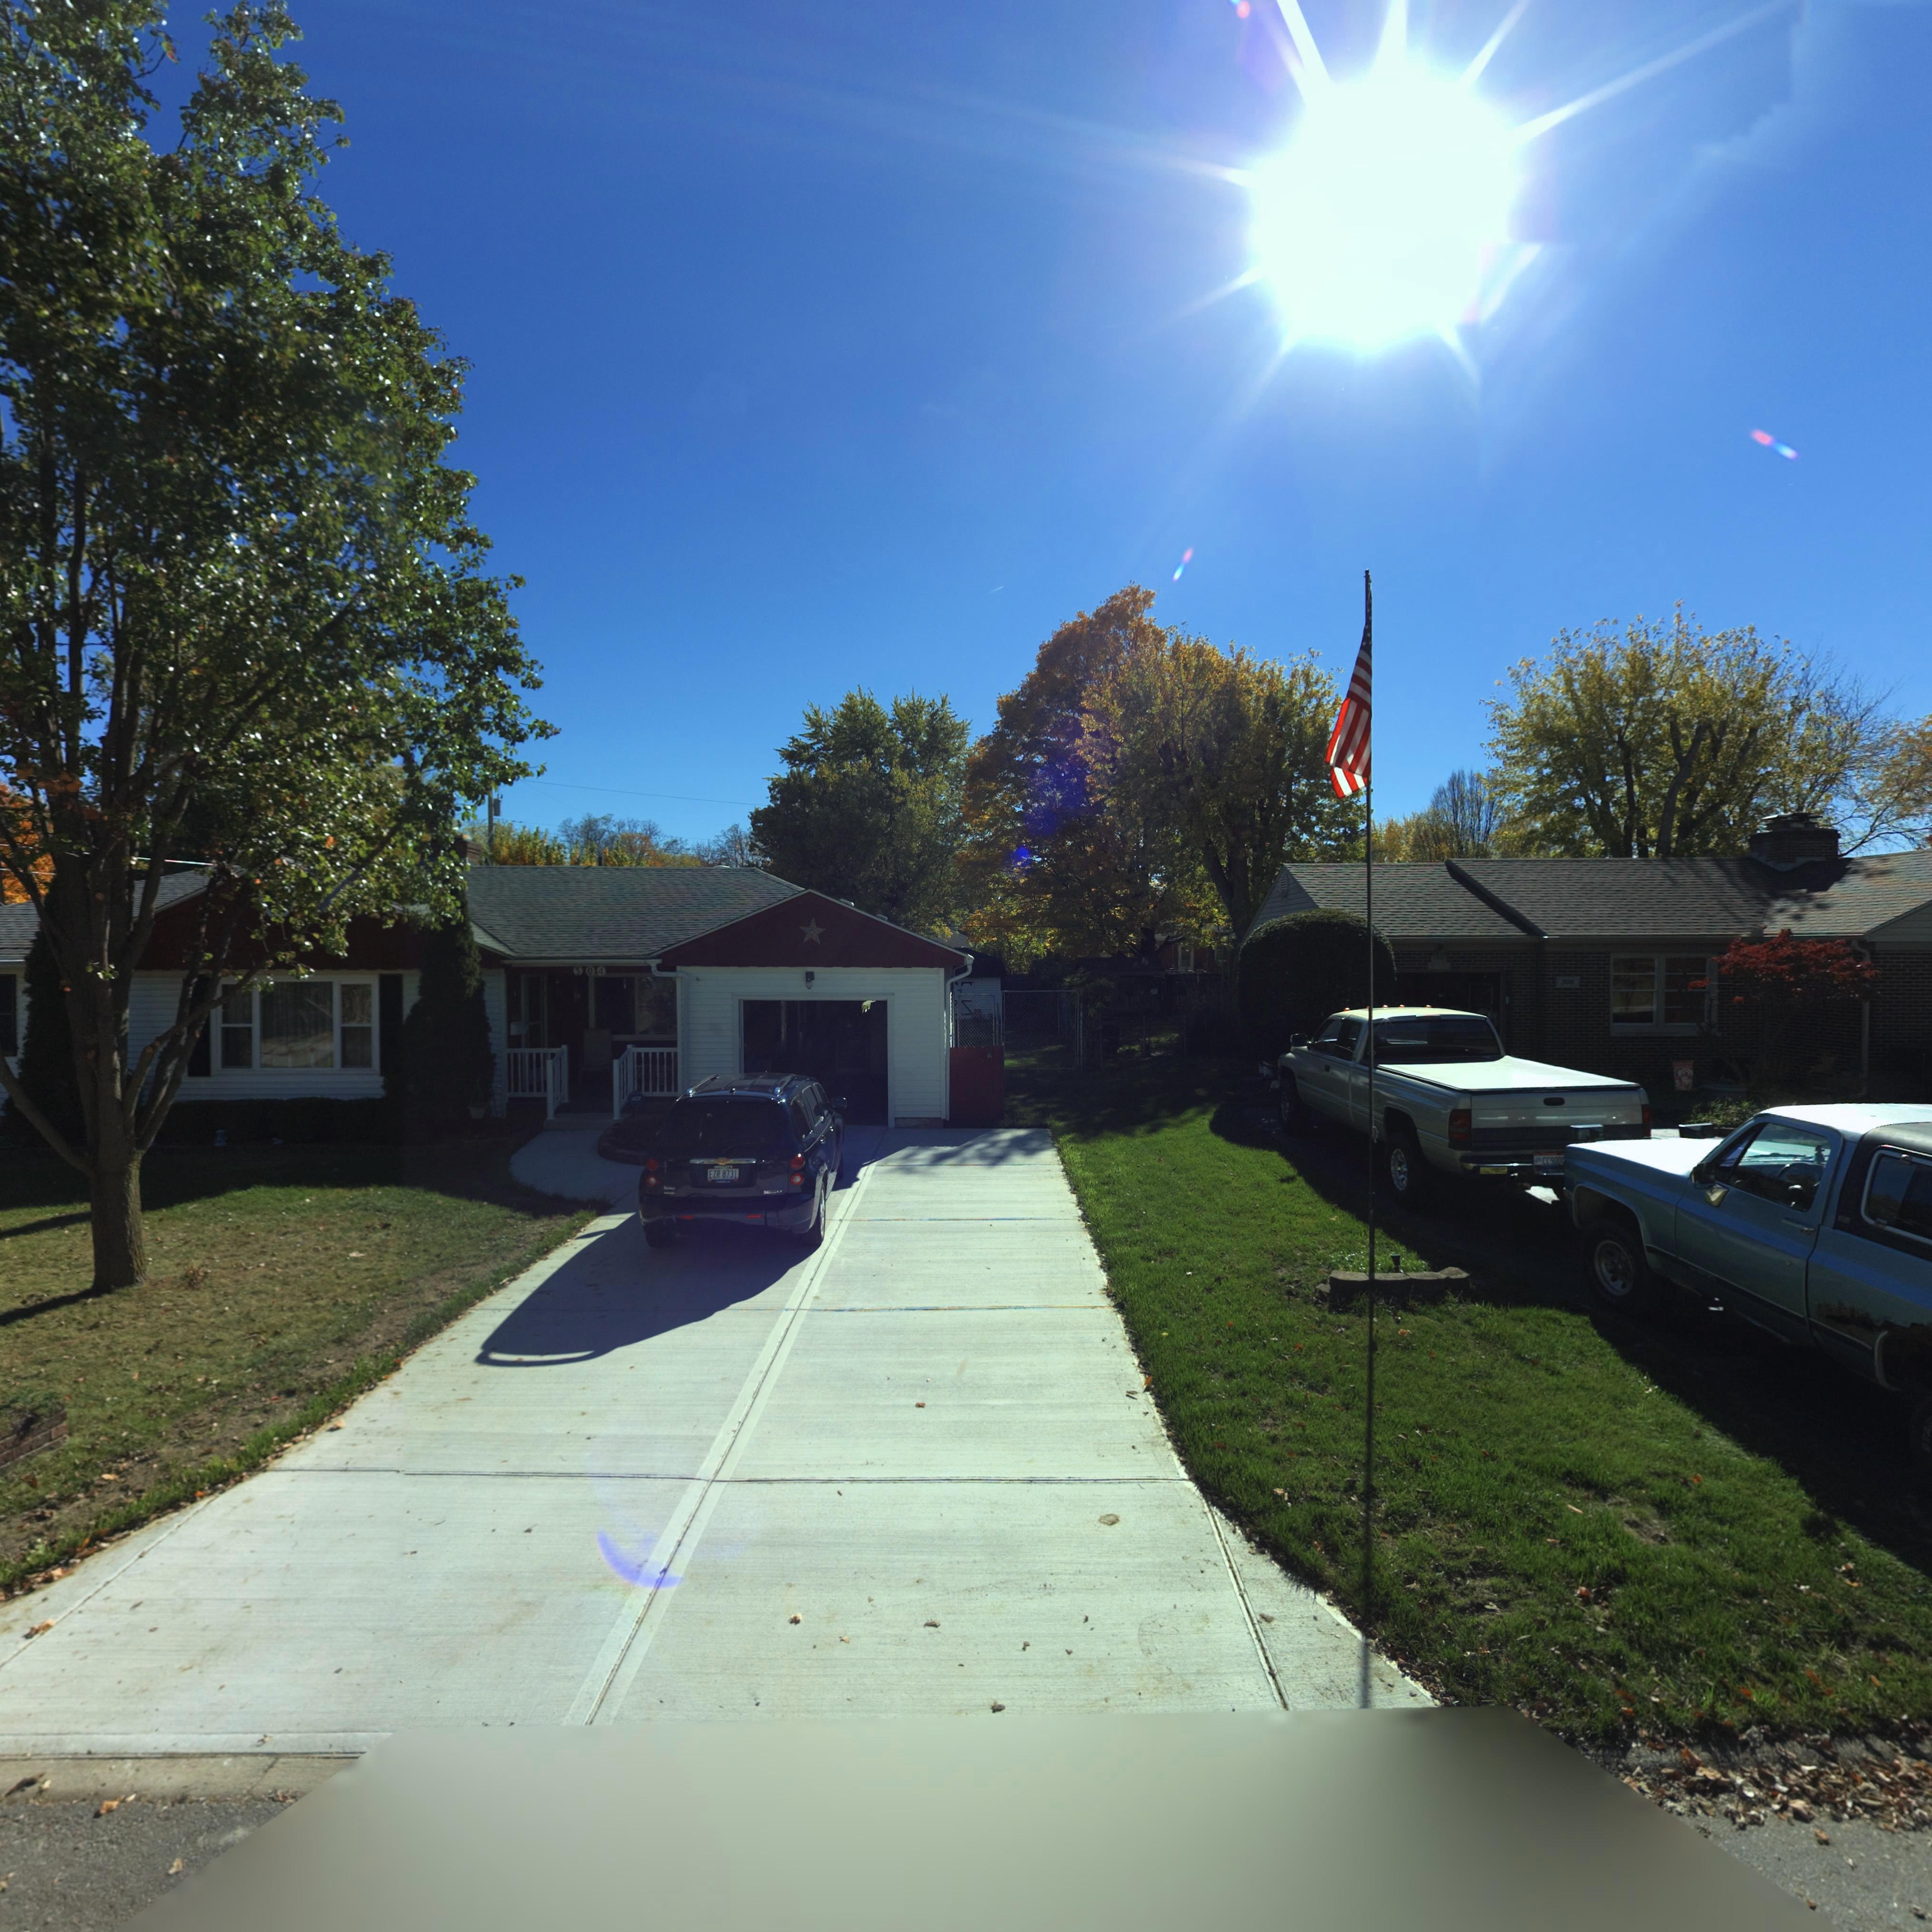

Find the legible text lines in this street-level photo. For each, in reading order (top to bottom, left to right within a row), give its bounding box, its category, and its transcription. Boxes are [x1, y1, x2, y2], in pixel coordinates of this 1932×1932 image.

[574, 967, 603, 975] StreetNumber: 304
[1560, 979, 1575, 985] StreetNumber: 306